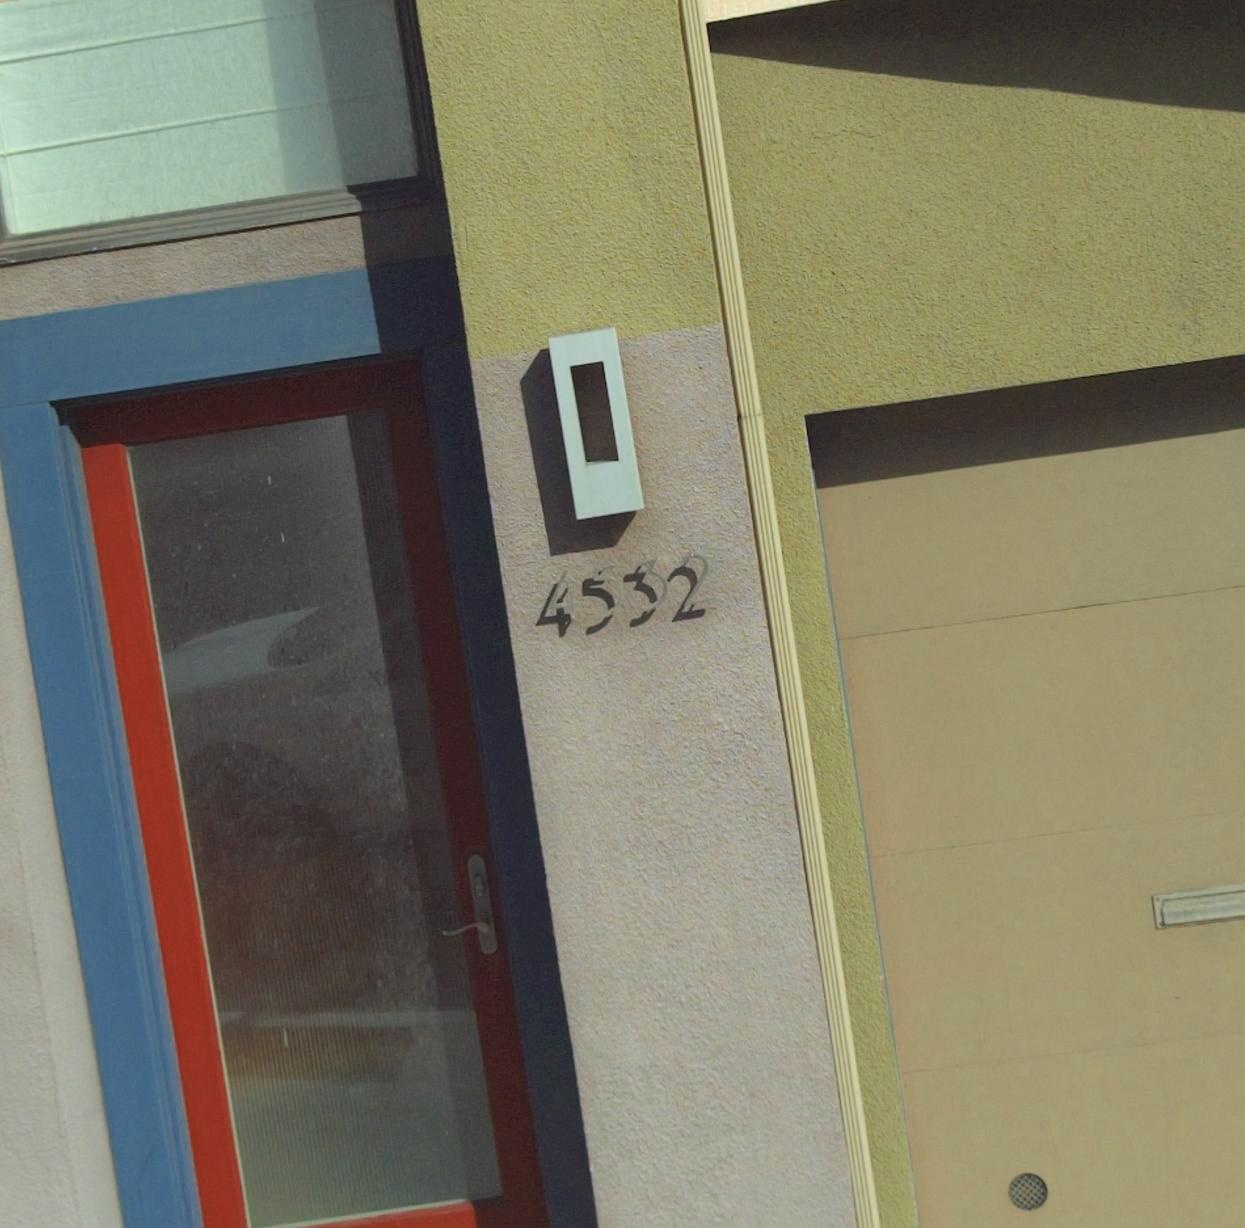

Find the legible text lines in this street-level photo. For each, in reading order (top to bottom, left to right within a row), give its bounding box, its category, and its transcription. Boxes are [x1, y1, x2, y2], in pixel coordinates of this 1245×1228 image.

[541, 550, 719, 634] StreetNumber: 4532